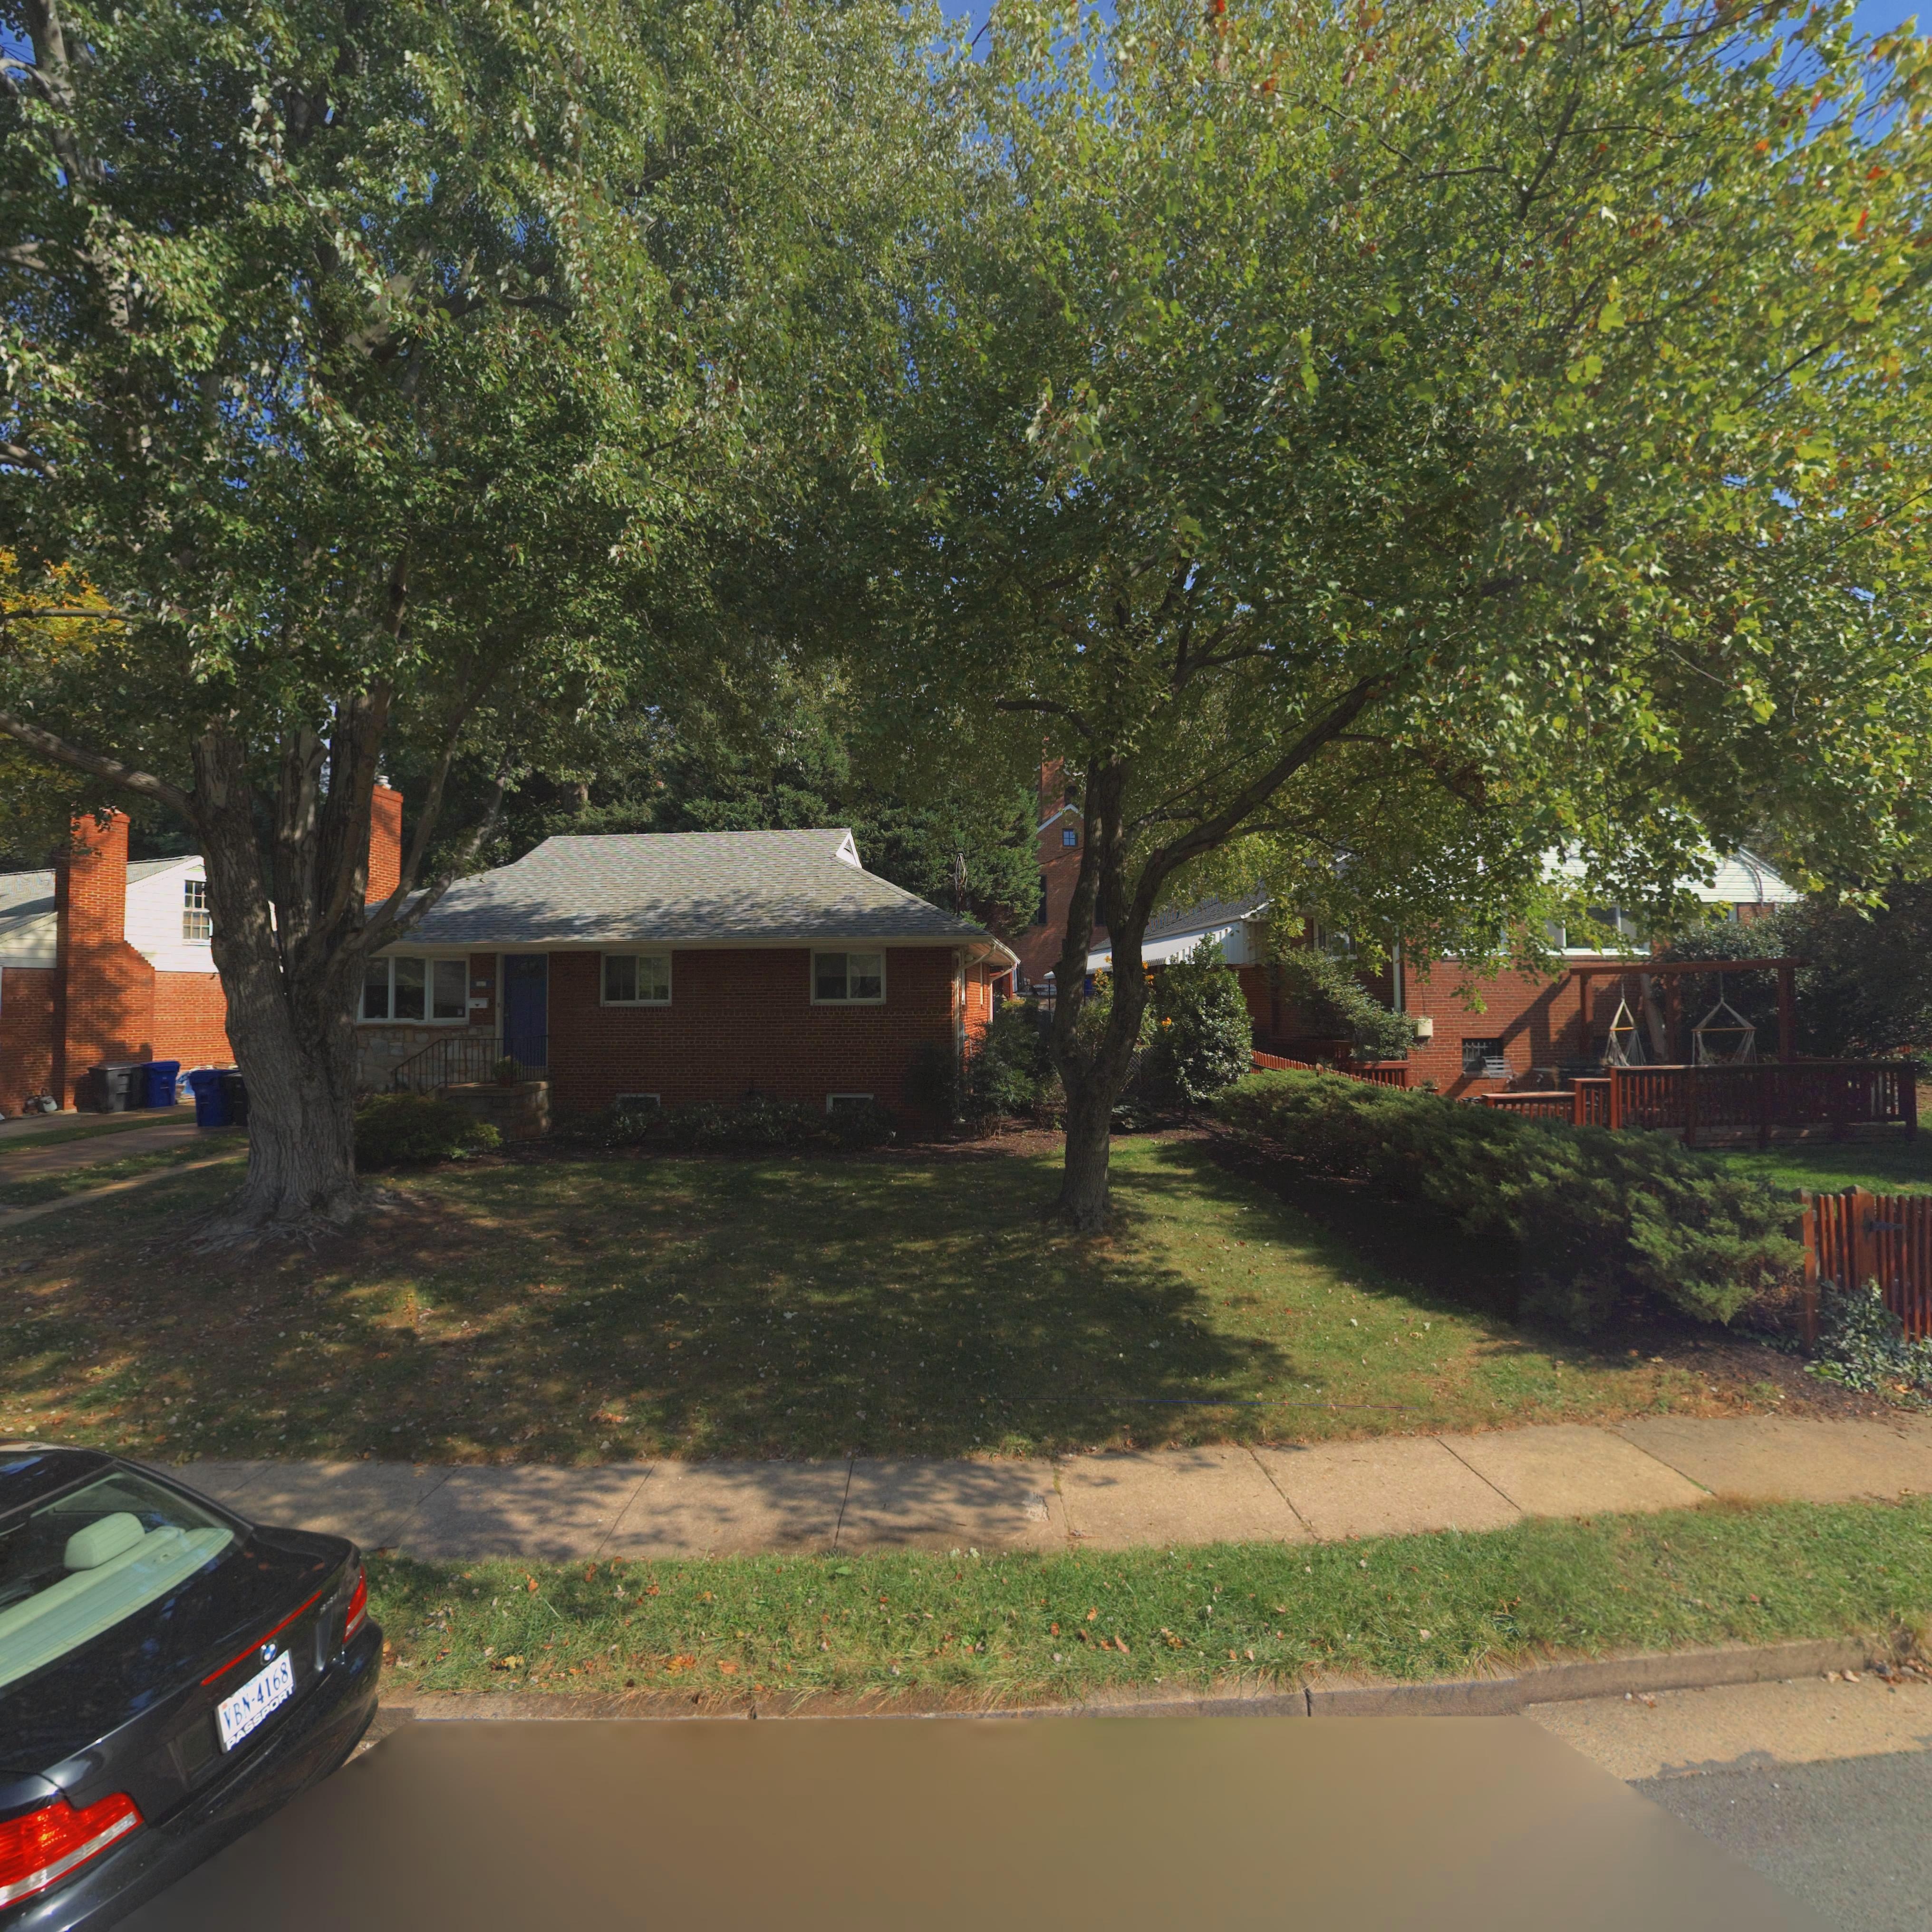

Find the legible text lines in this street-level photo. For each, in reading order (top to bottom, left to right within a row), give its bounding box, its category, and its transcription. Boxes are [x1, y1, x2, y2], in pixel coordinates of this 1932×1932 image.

[220, 1660, 291, 1734] None: VBN-4168
[224, 1681, 296, 1755] None: PASSPORT